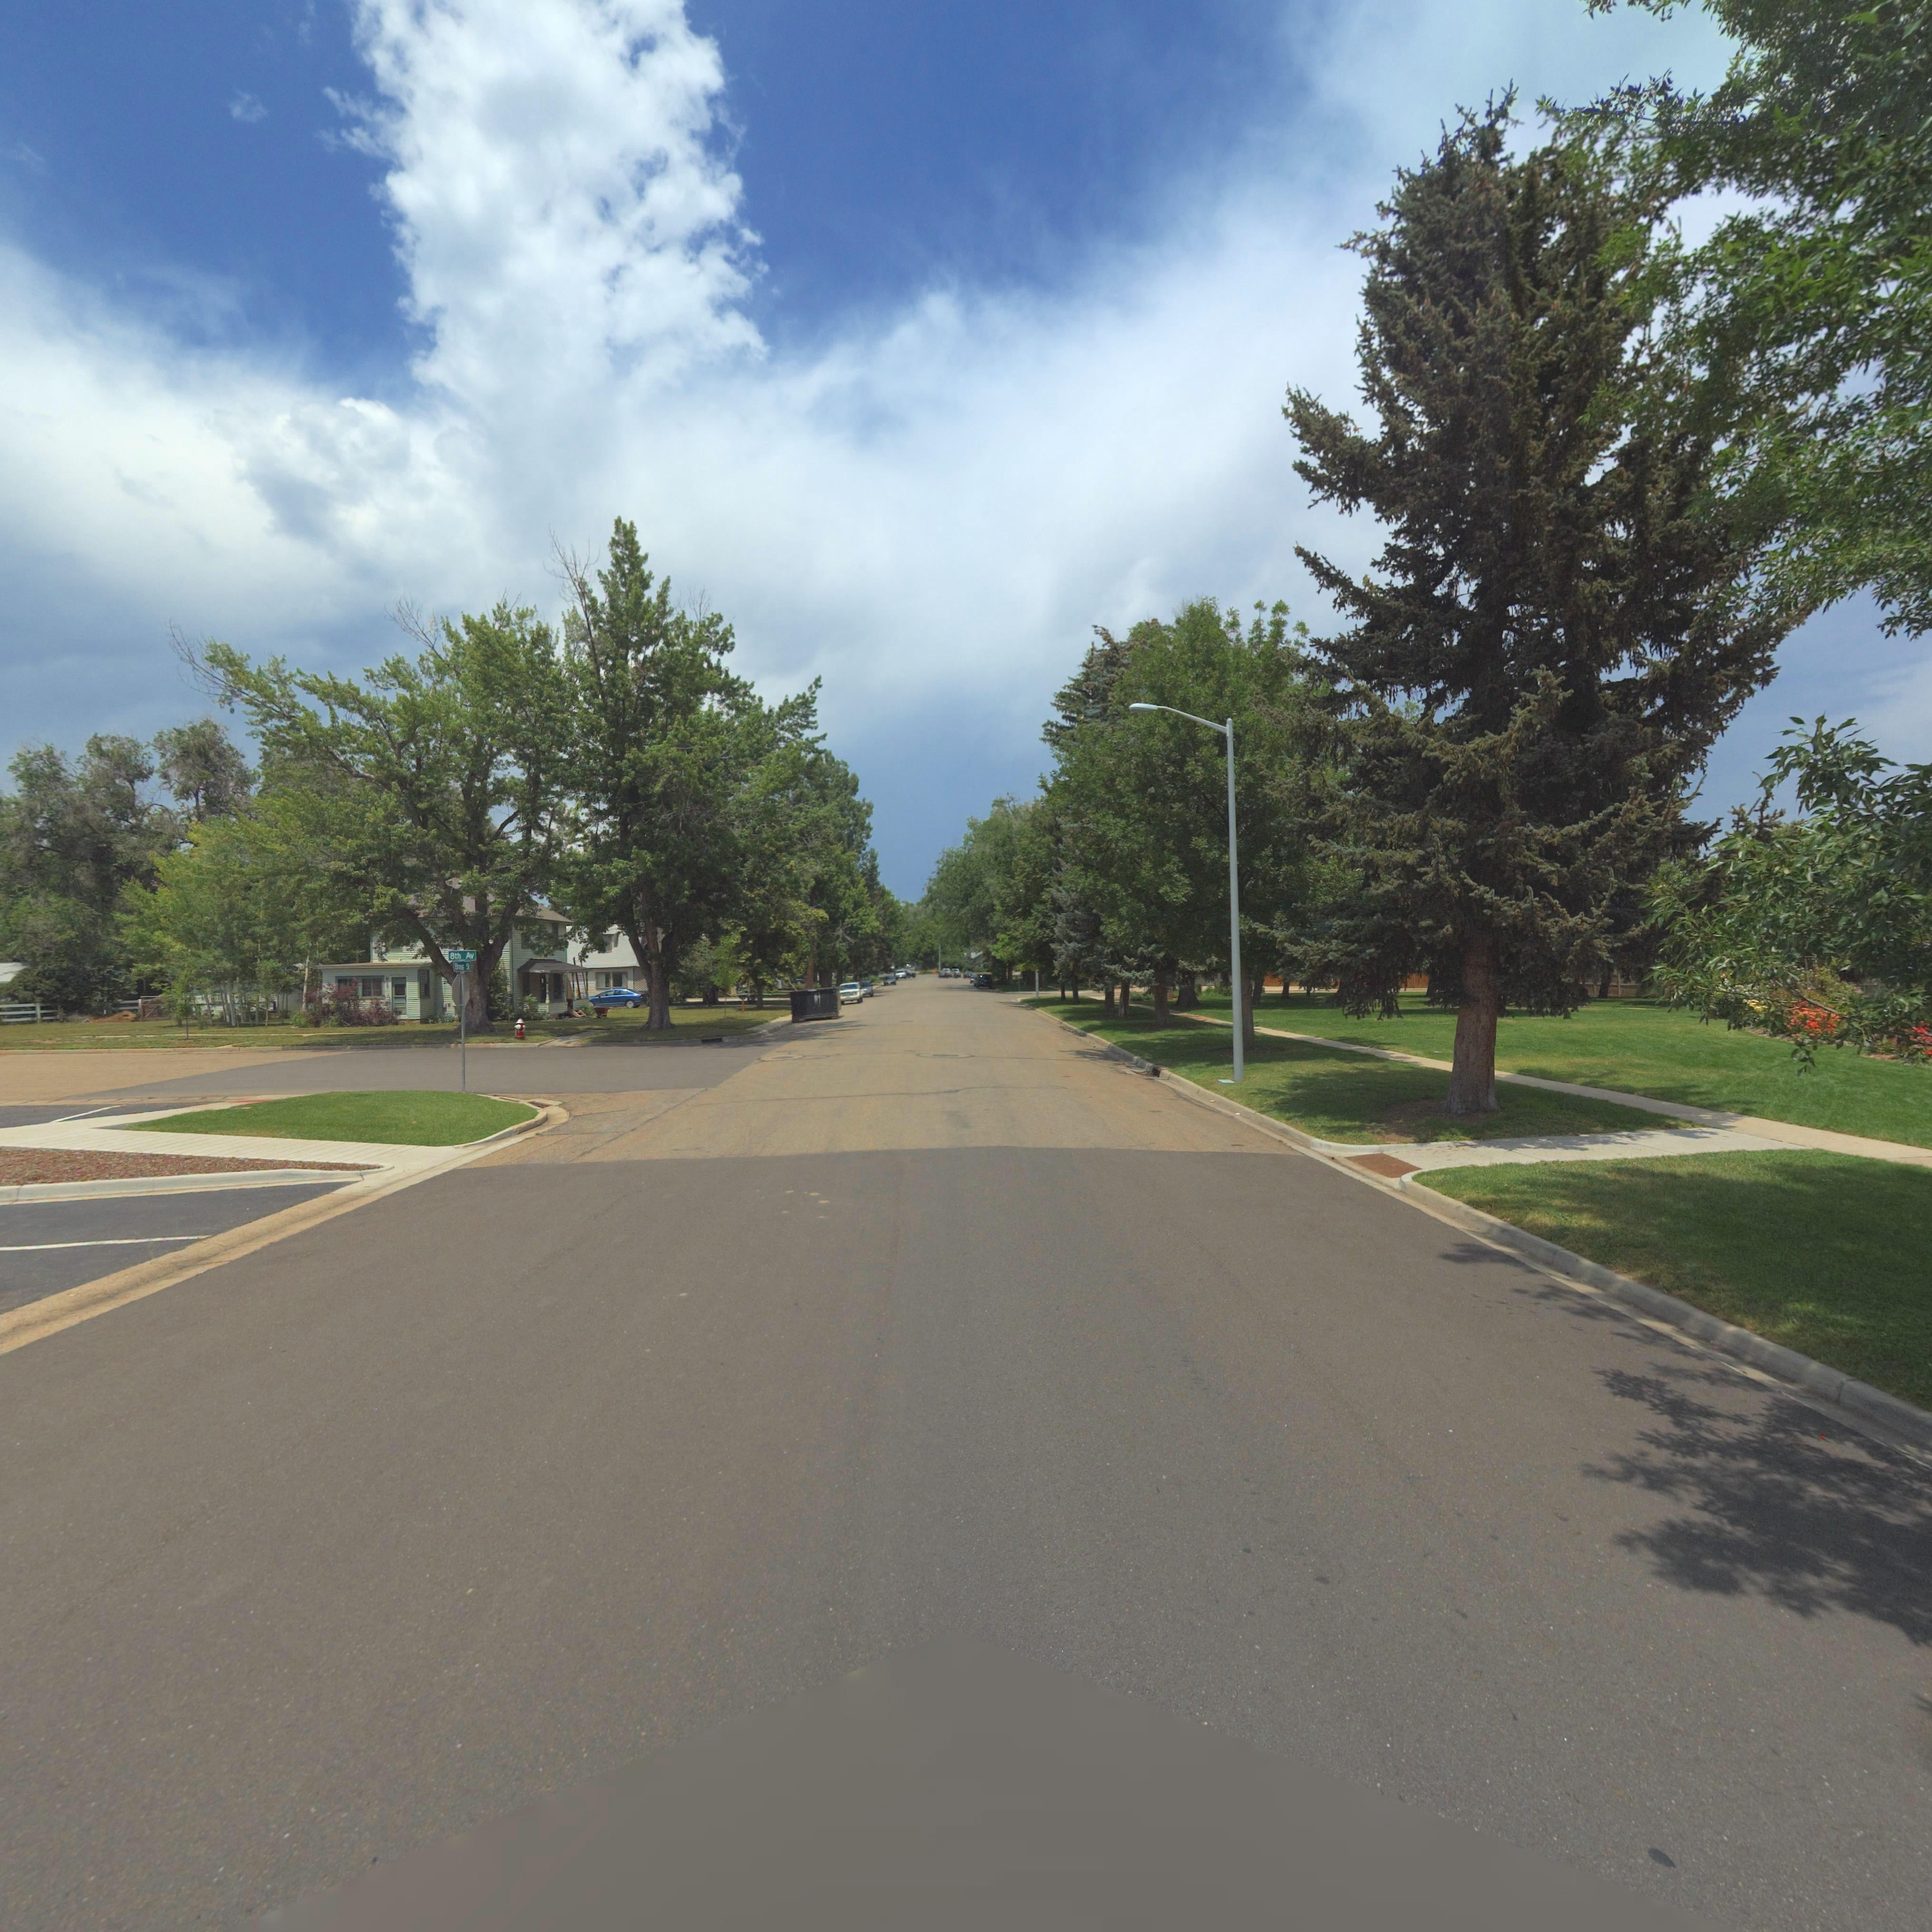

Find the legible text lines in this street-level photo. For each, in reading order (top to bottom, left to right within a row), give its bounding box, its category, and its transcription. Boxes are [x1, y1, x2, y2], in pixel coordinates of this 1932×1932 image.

[449, 951, 474, 959] StreetName: 8th Av
[454, 962, 470, 970] StreetName: B**ss St